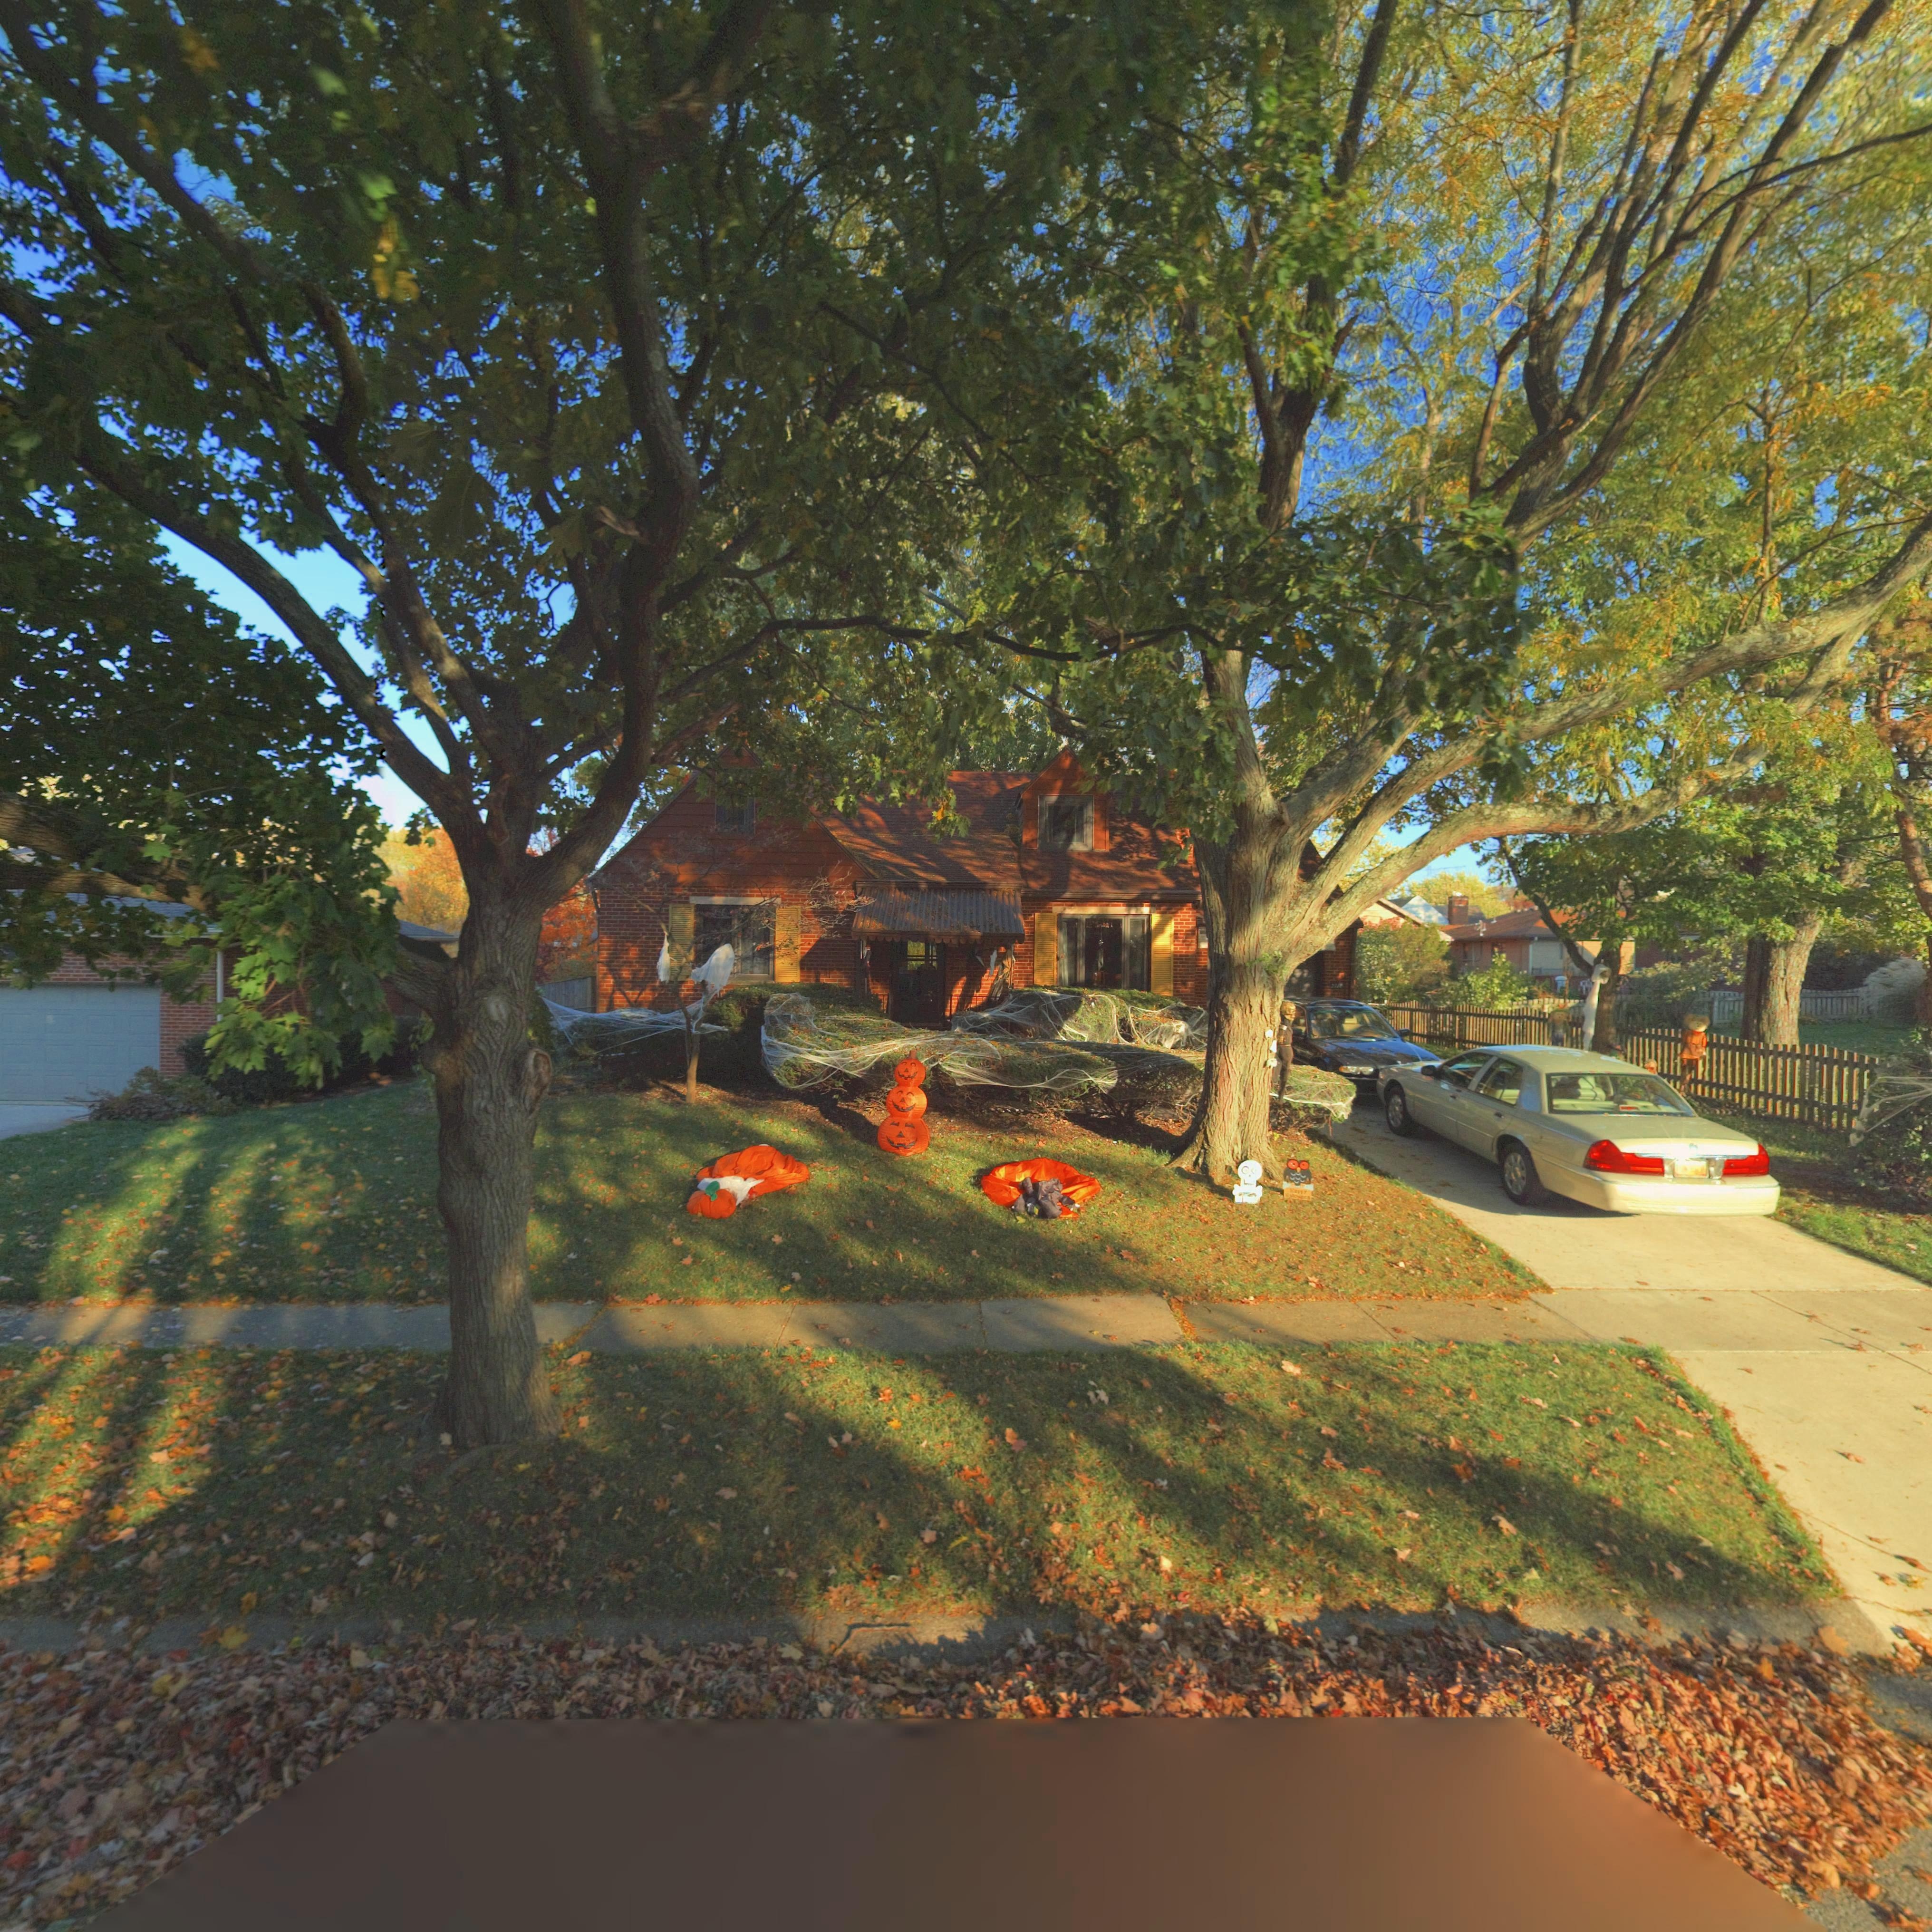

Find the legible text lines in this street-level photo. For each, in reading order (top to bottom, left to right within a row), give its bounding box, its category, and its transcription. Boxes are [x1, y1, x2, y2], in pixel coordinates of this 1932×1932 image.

[1331, 984, 1343, 989] StreetNumber: 371*